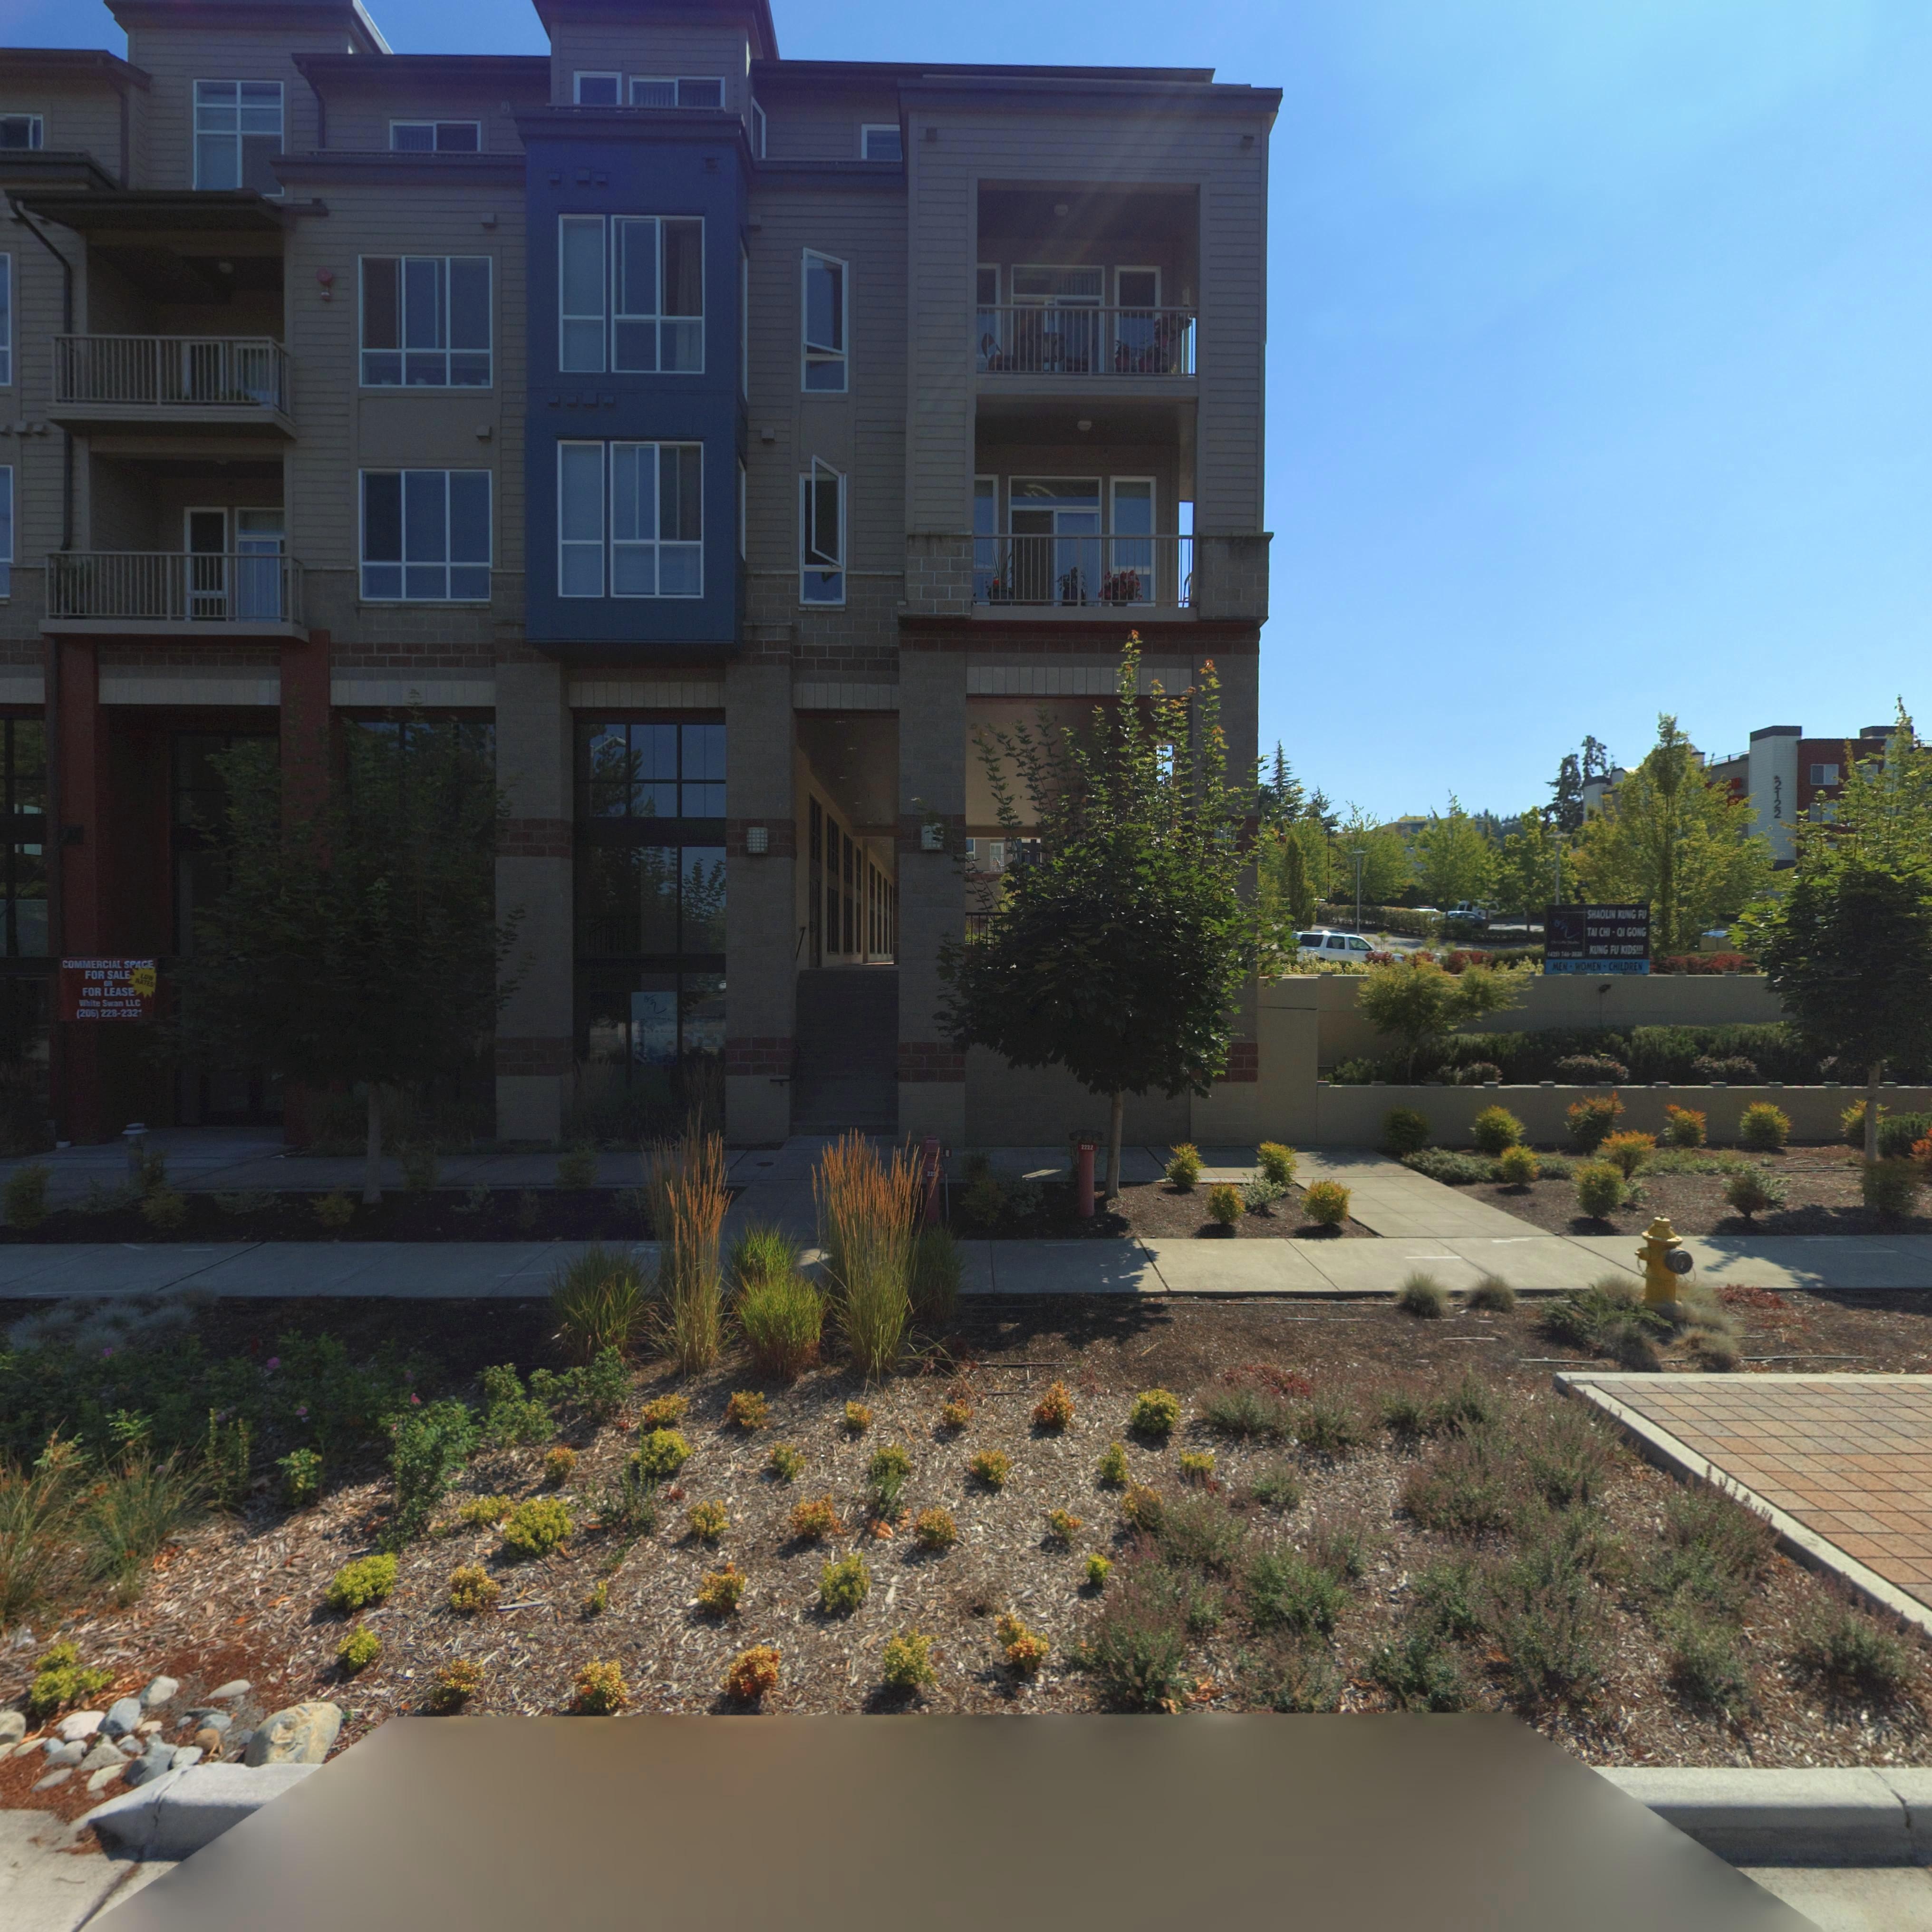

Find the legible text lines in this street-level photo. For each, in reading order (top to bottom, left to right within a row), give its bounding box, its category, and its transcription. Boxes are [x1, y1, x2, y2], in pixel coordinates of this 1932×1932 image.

[1773, 779, 1782, 819] StreetNumber: 2122
[1586, 908, 1647, 920] BusinessName: SHAOLIN KUNG FU
[1586, 927, 1647, 937] BusinessName: TAI CHI - QI GONG
[1588, 944, 1644, 955] BusinessName: KUNG FU KIDS!!!
[62, 959, 155, 969] None: COMMERCIAL SPACE
[1551, 961, 1643, 972] BusinessName: MEN - WOMEN - CHILDREN
[1080, 1143, 1094, 1151] BusinessName: 2222
[927, 1170, 939, 1177] BusinessName: 22*